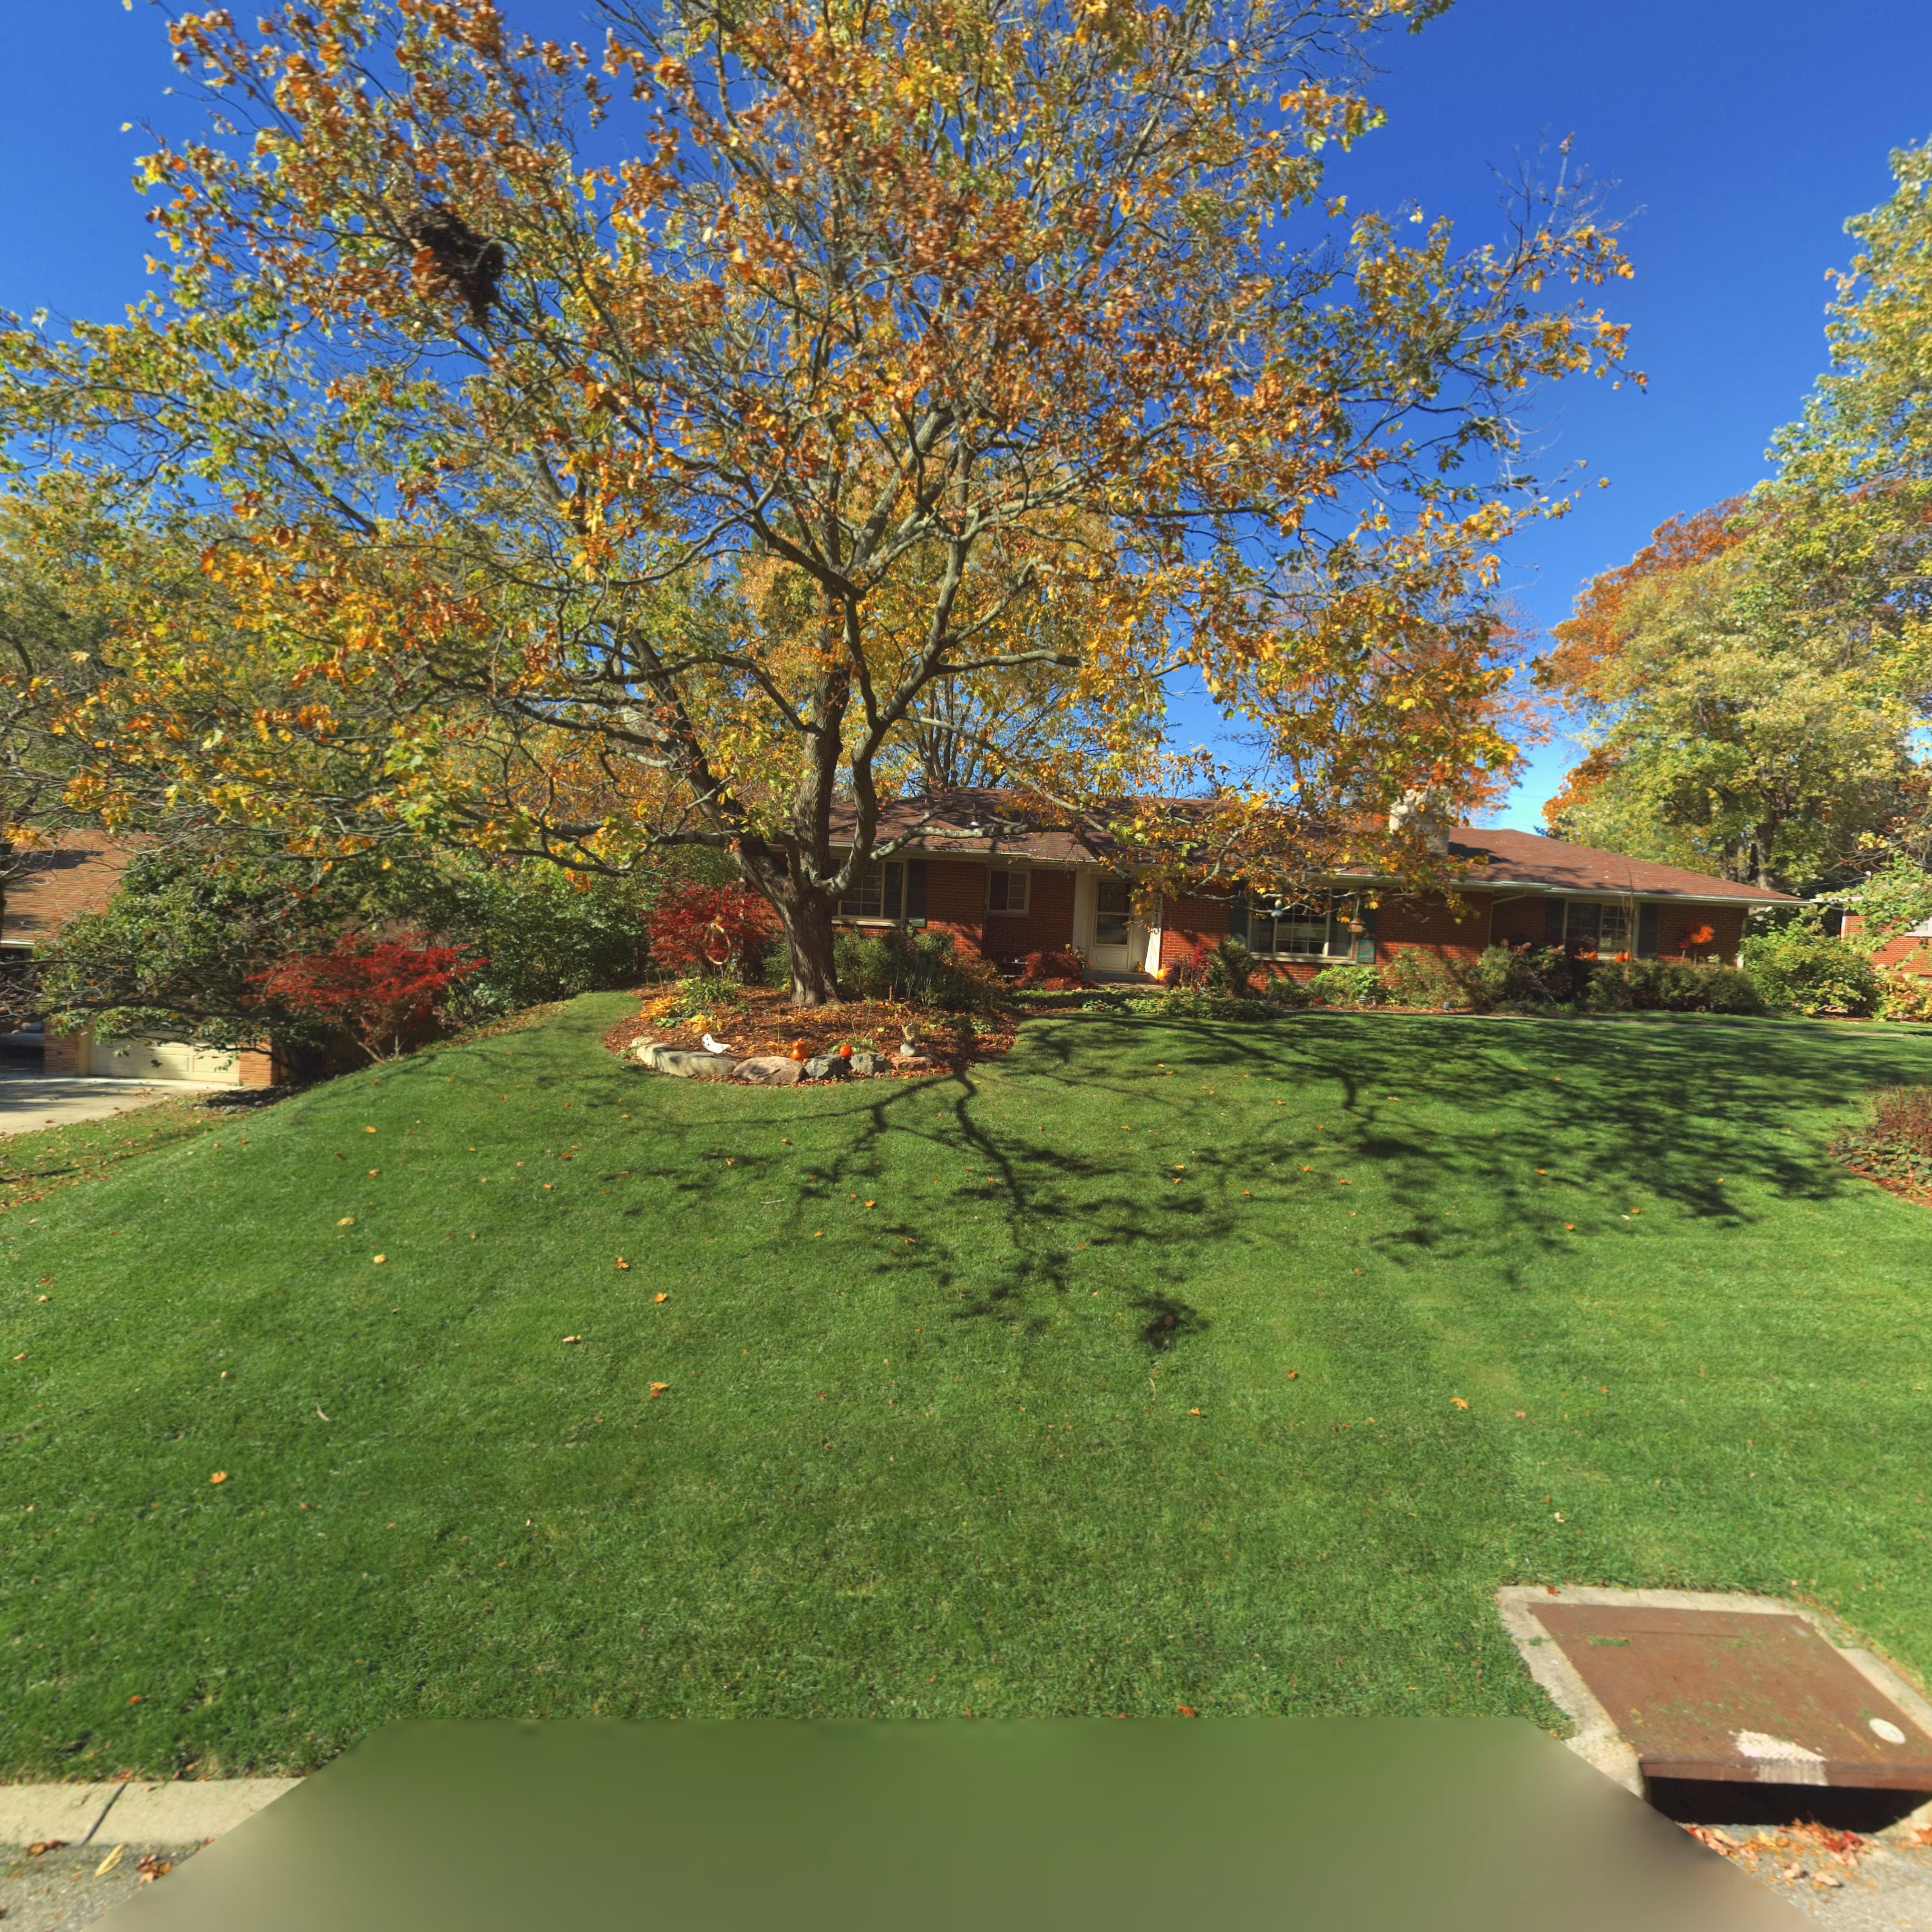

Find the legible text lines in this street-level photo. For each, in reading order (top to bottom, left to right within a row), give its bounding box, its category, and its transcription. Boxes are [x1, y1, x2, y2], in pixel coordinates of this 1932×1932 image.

[1153, 894, 1161, 935] StreetNumber: **15